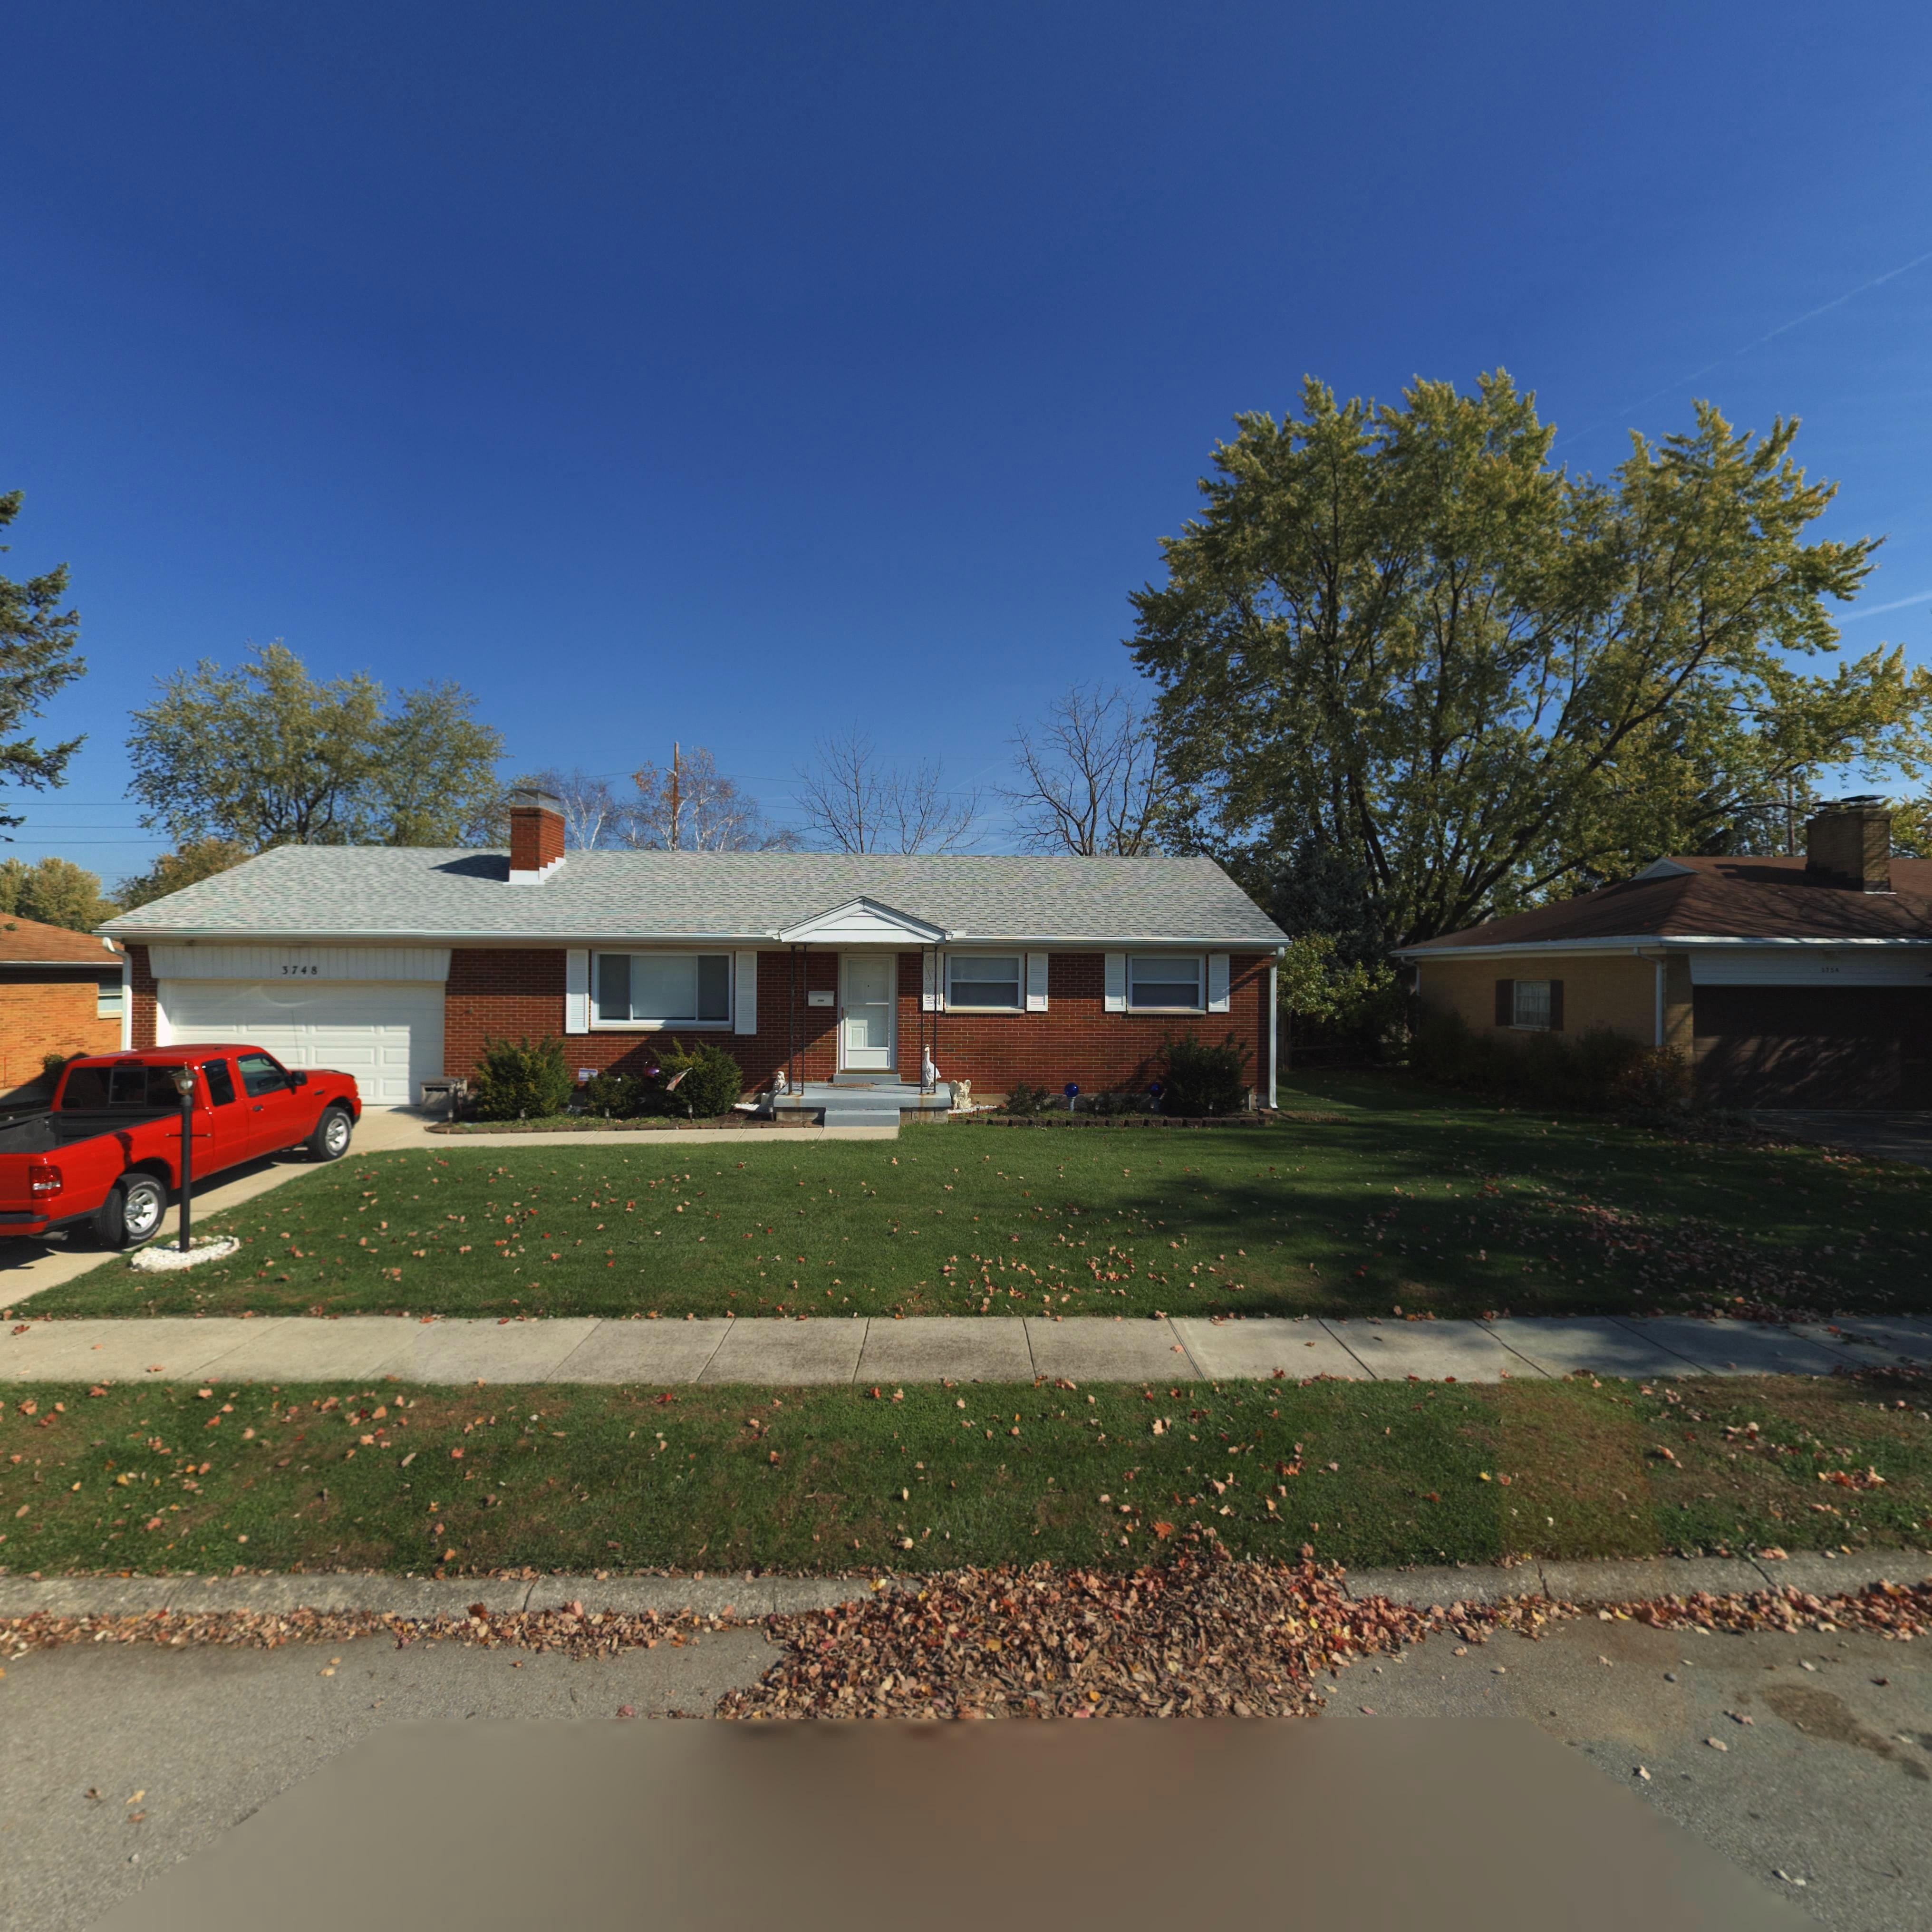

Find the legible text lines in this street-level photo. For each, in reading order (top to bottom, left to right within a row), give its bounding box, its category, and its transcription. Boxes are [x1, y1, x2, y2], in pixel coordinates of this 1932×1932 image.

[280, 965, 317, 975] StreetNumber: 3748
[1821, 967, 1839, 973] StreetNumber: 3754